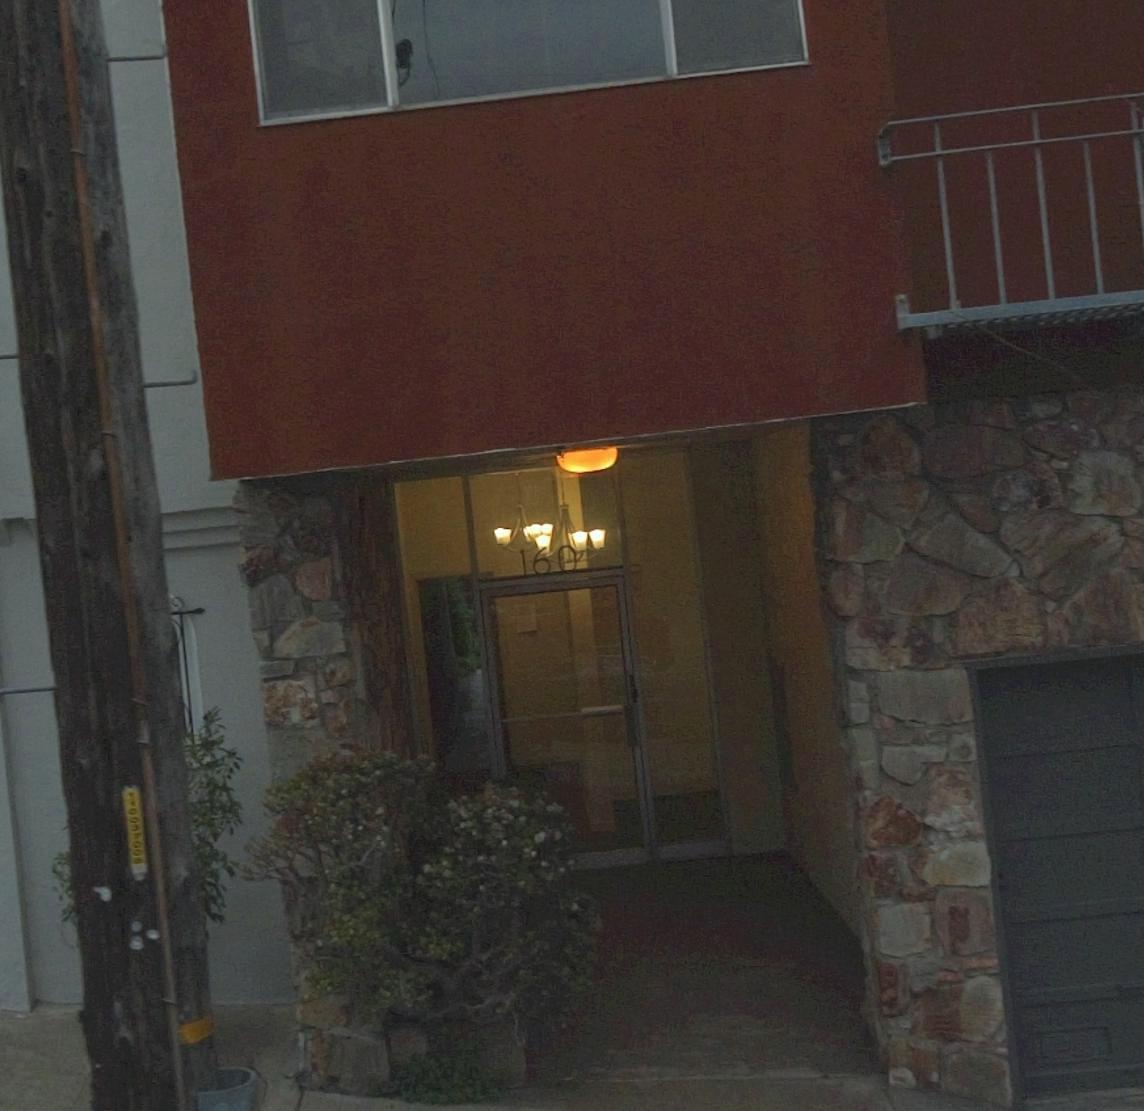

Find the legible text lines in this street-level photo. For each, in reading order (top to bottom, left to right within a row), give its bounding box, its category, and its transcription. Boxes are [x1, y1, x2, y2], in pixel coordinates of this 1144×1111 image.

[517, 543, 579, 576] StreetNumber: 160
[126, 790, 145, 865] None: 110037006